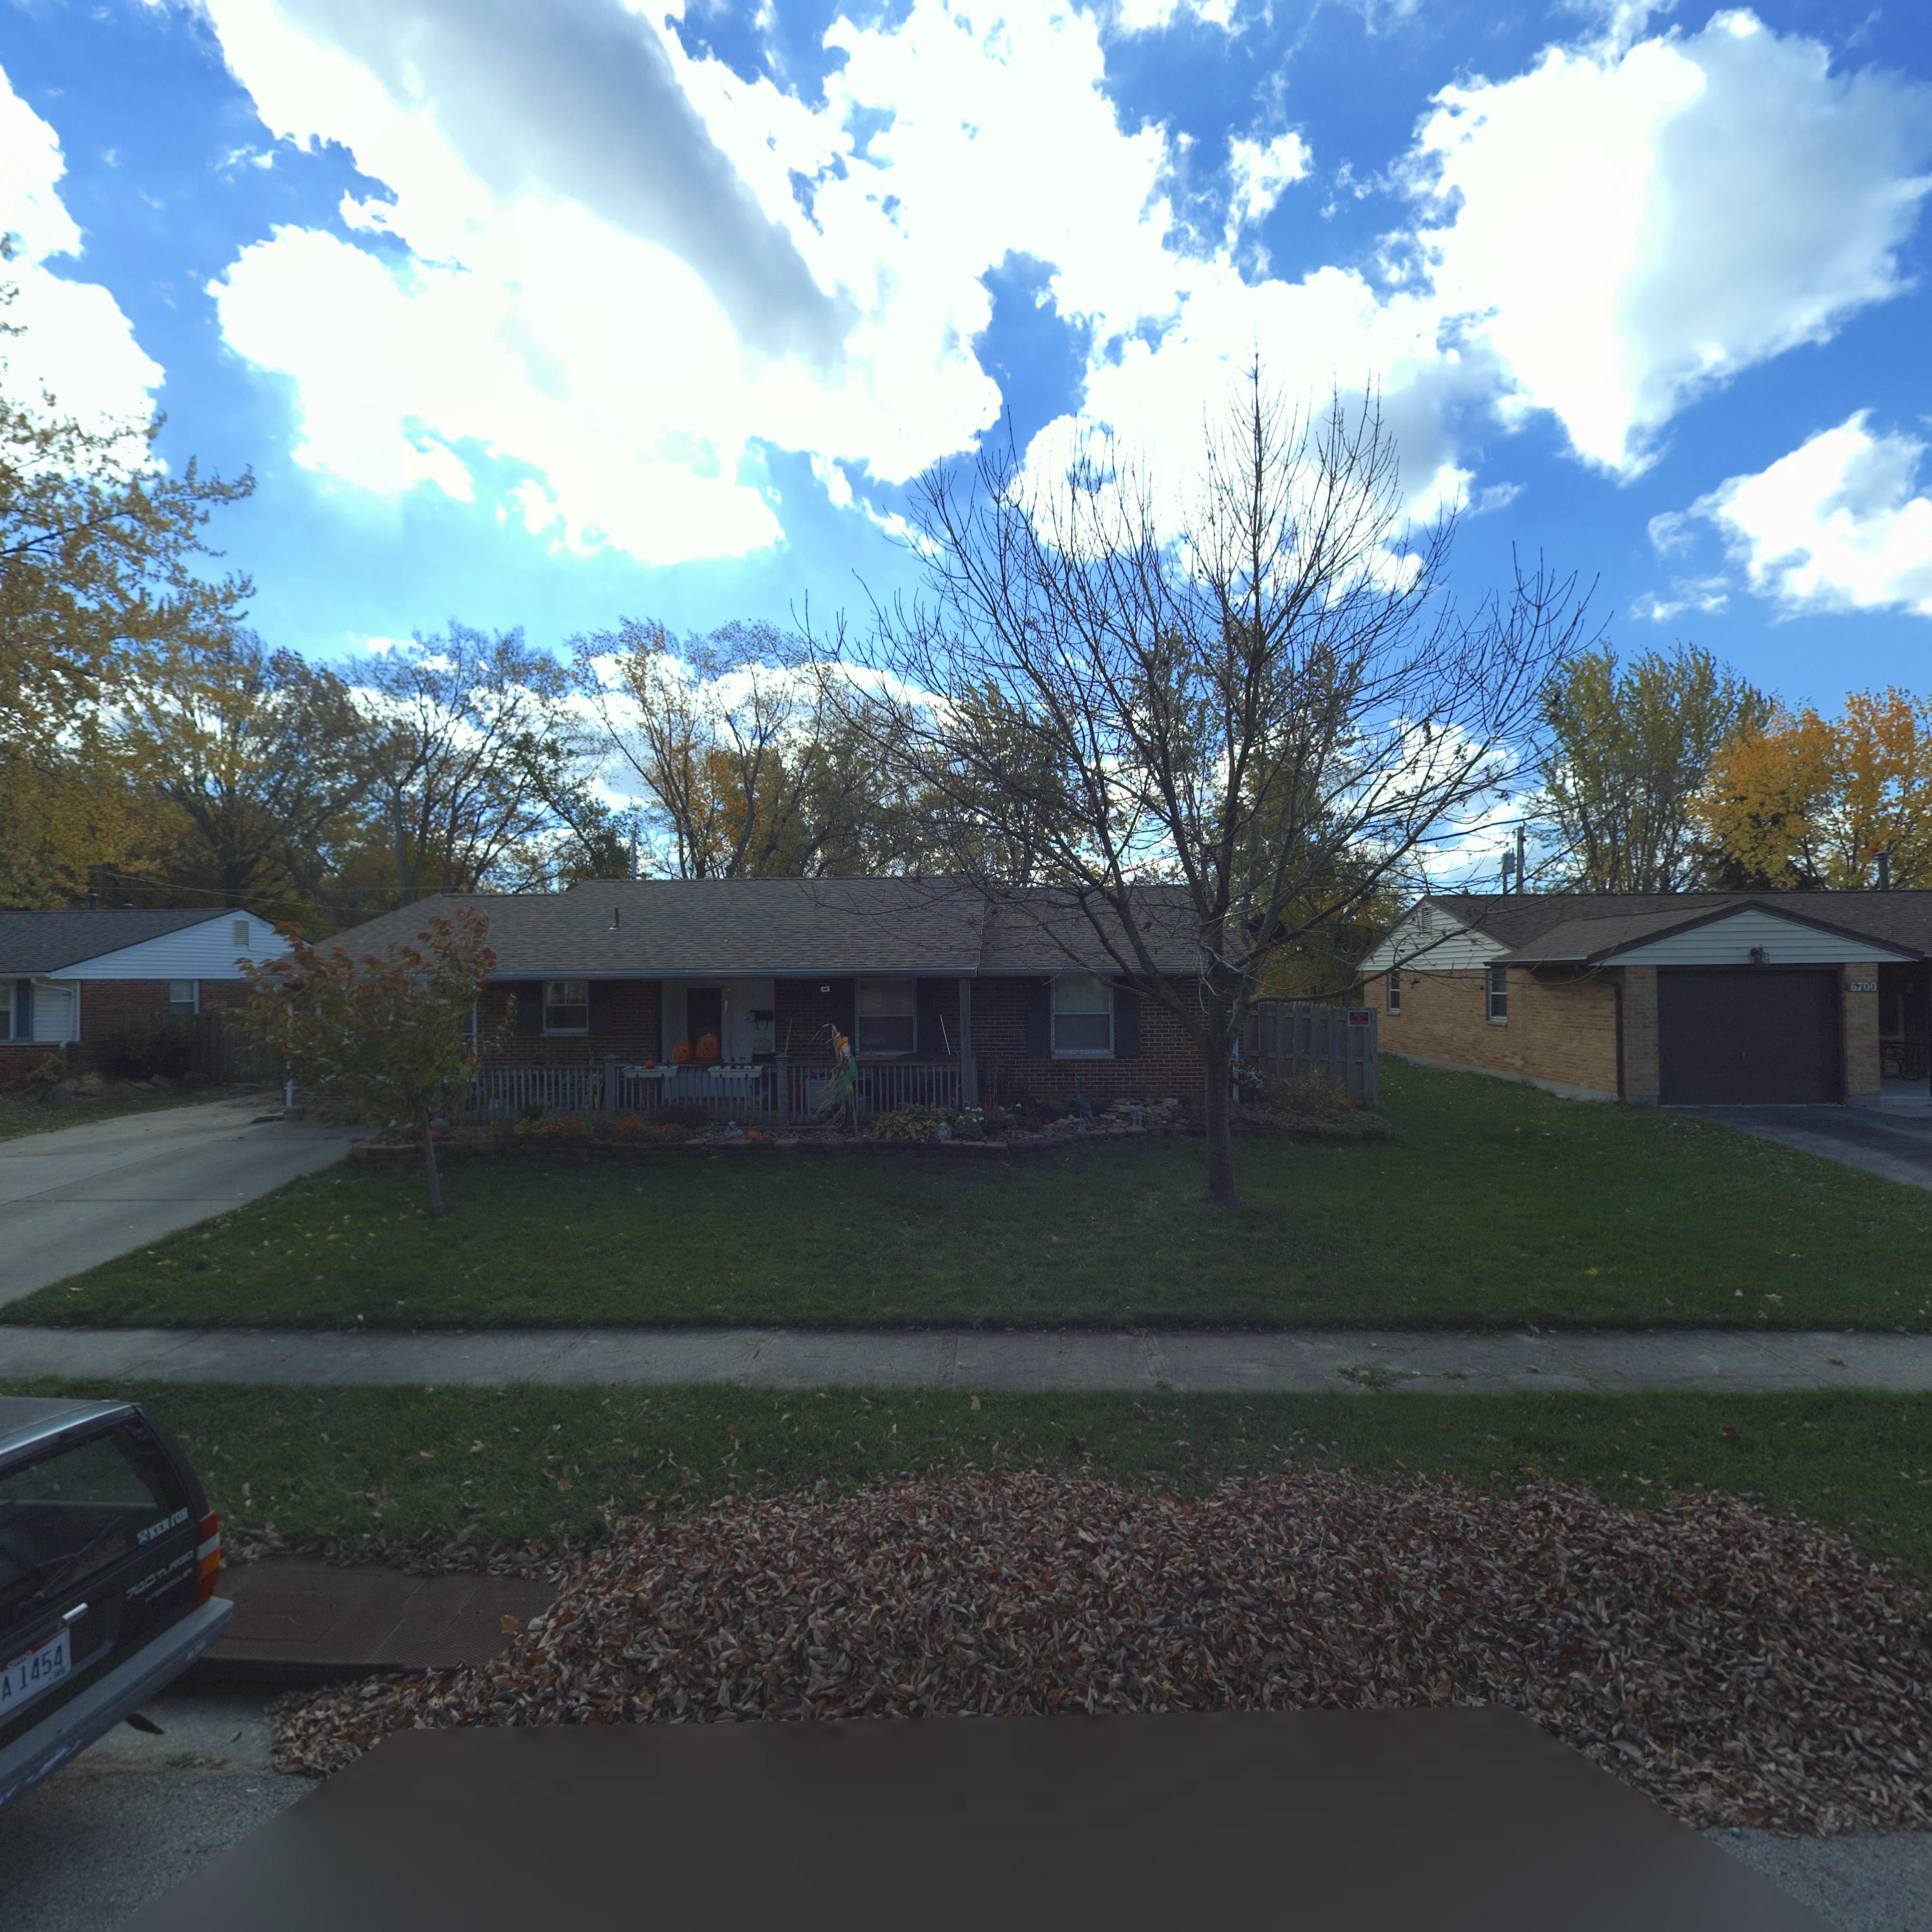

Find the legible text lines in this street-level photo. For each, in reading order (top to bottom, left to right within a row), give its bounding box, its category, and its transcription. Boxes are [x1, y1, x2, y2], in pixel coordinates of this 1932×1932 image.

[1850, 982, 1877, 992] StreetNumber: 6700